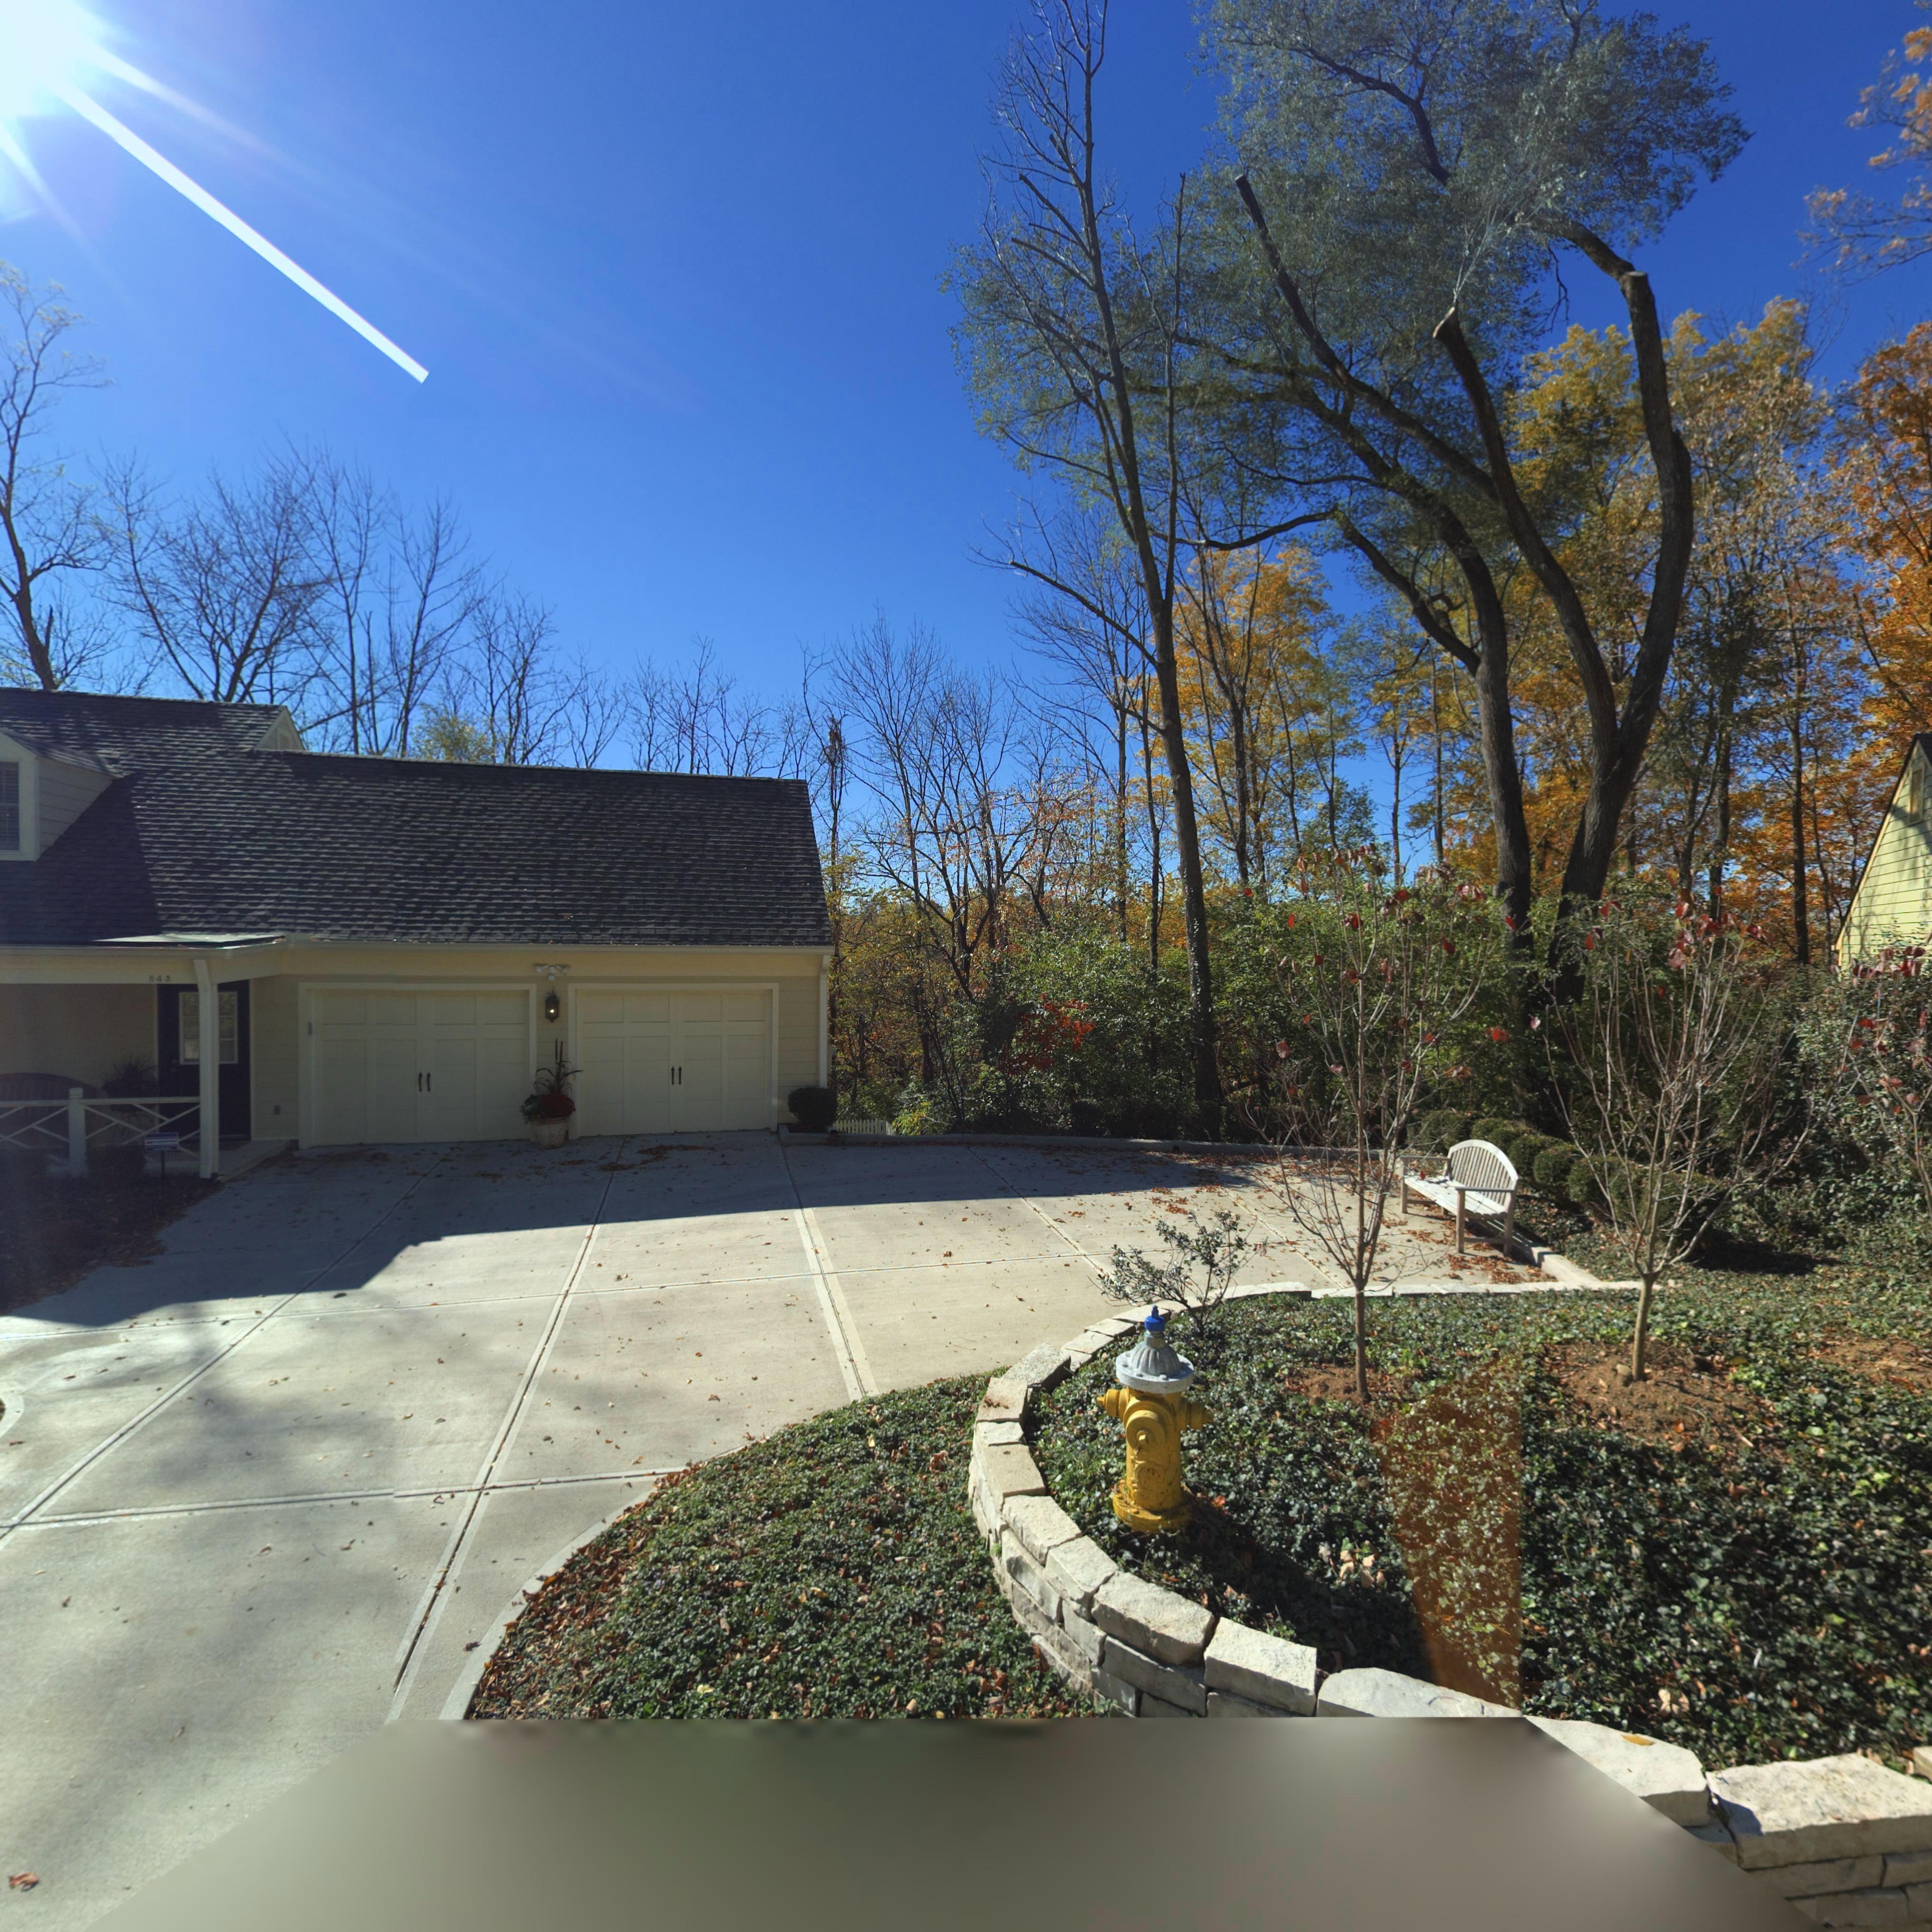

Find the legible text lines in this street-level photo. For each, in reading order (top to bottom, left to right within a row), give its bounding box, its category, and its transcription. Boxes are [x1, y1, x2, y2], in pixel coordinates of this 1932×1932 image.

[148, 975, 172, 983] StreetNumber: 843